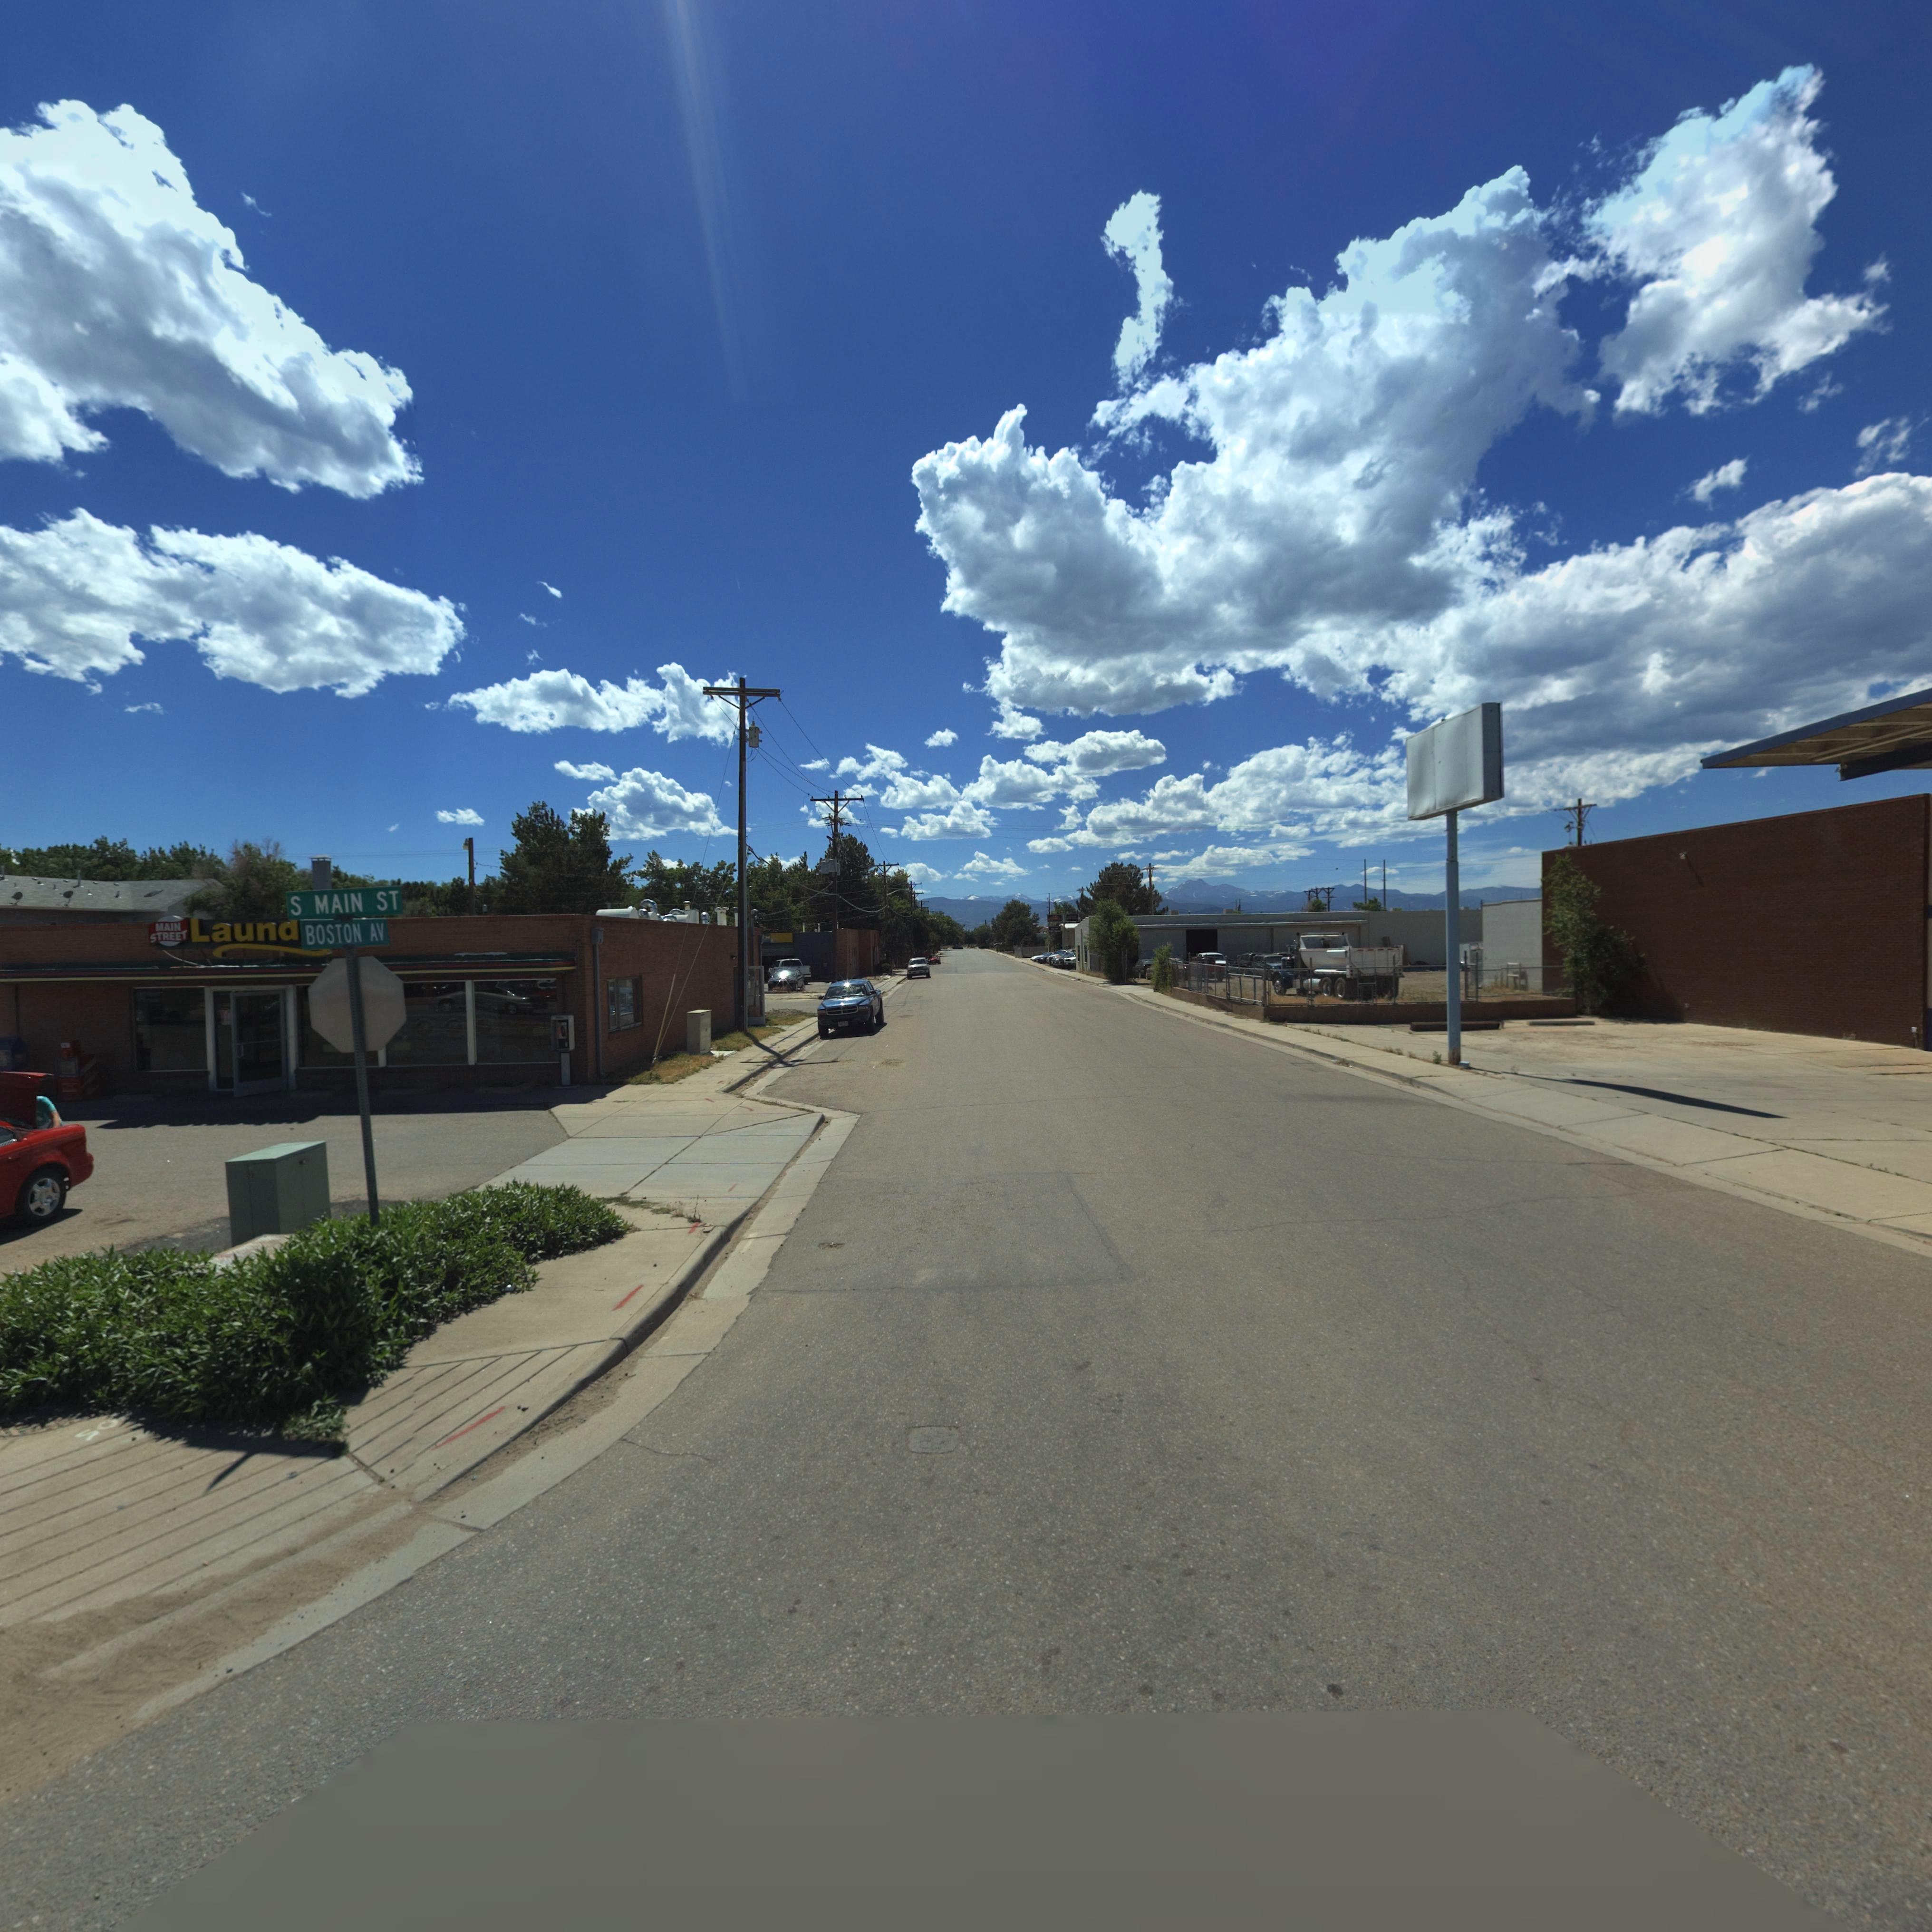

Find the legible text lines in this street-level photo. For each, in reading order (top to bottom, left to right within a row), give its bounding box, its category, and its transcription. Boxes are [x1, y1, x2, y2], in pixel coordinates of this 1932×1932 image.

[290, 889, 399, 916] StreetName: S MAIN ST
[155, 922, 181, 931] BusinessName: MAIN
[149, 929, 187, 944] BusinessName: STREET
[189, 918, 277, 943] BusinessName: Laun
[304, 922, 384, 946] StreetName: BOSTON AV
[765, 936, 770, 939] BusinessName: M